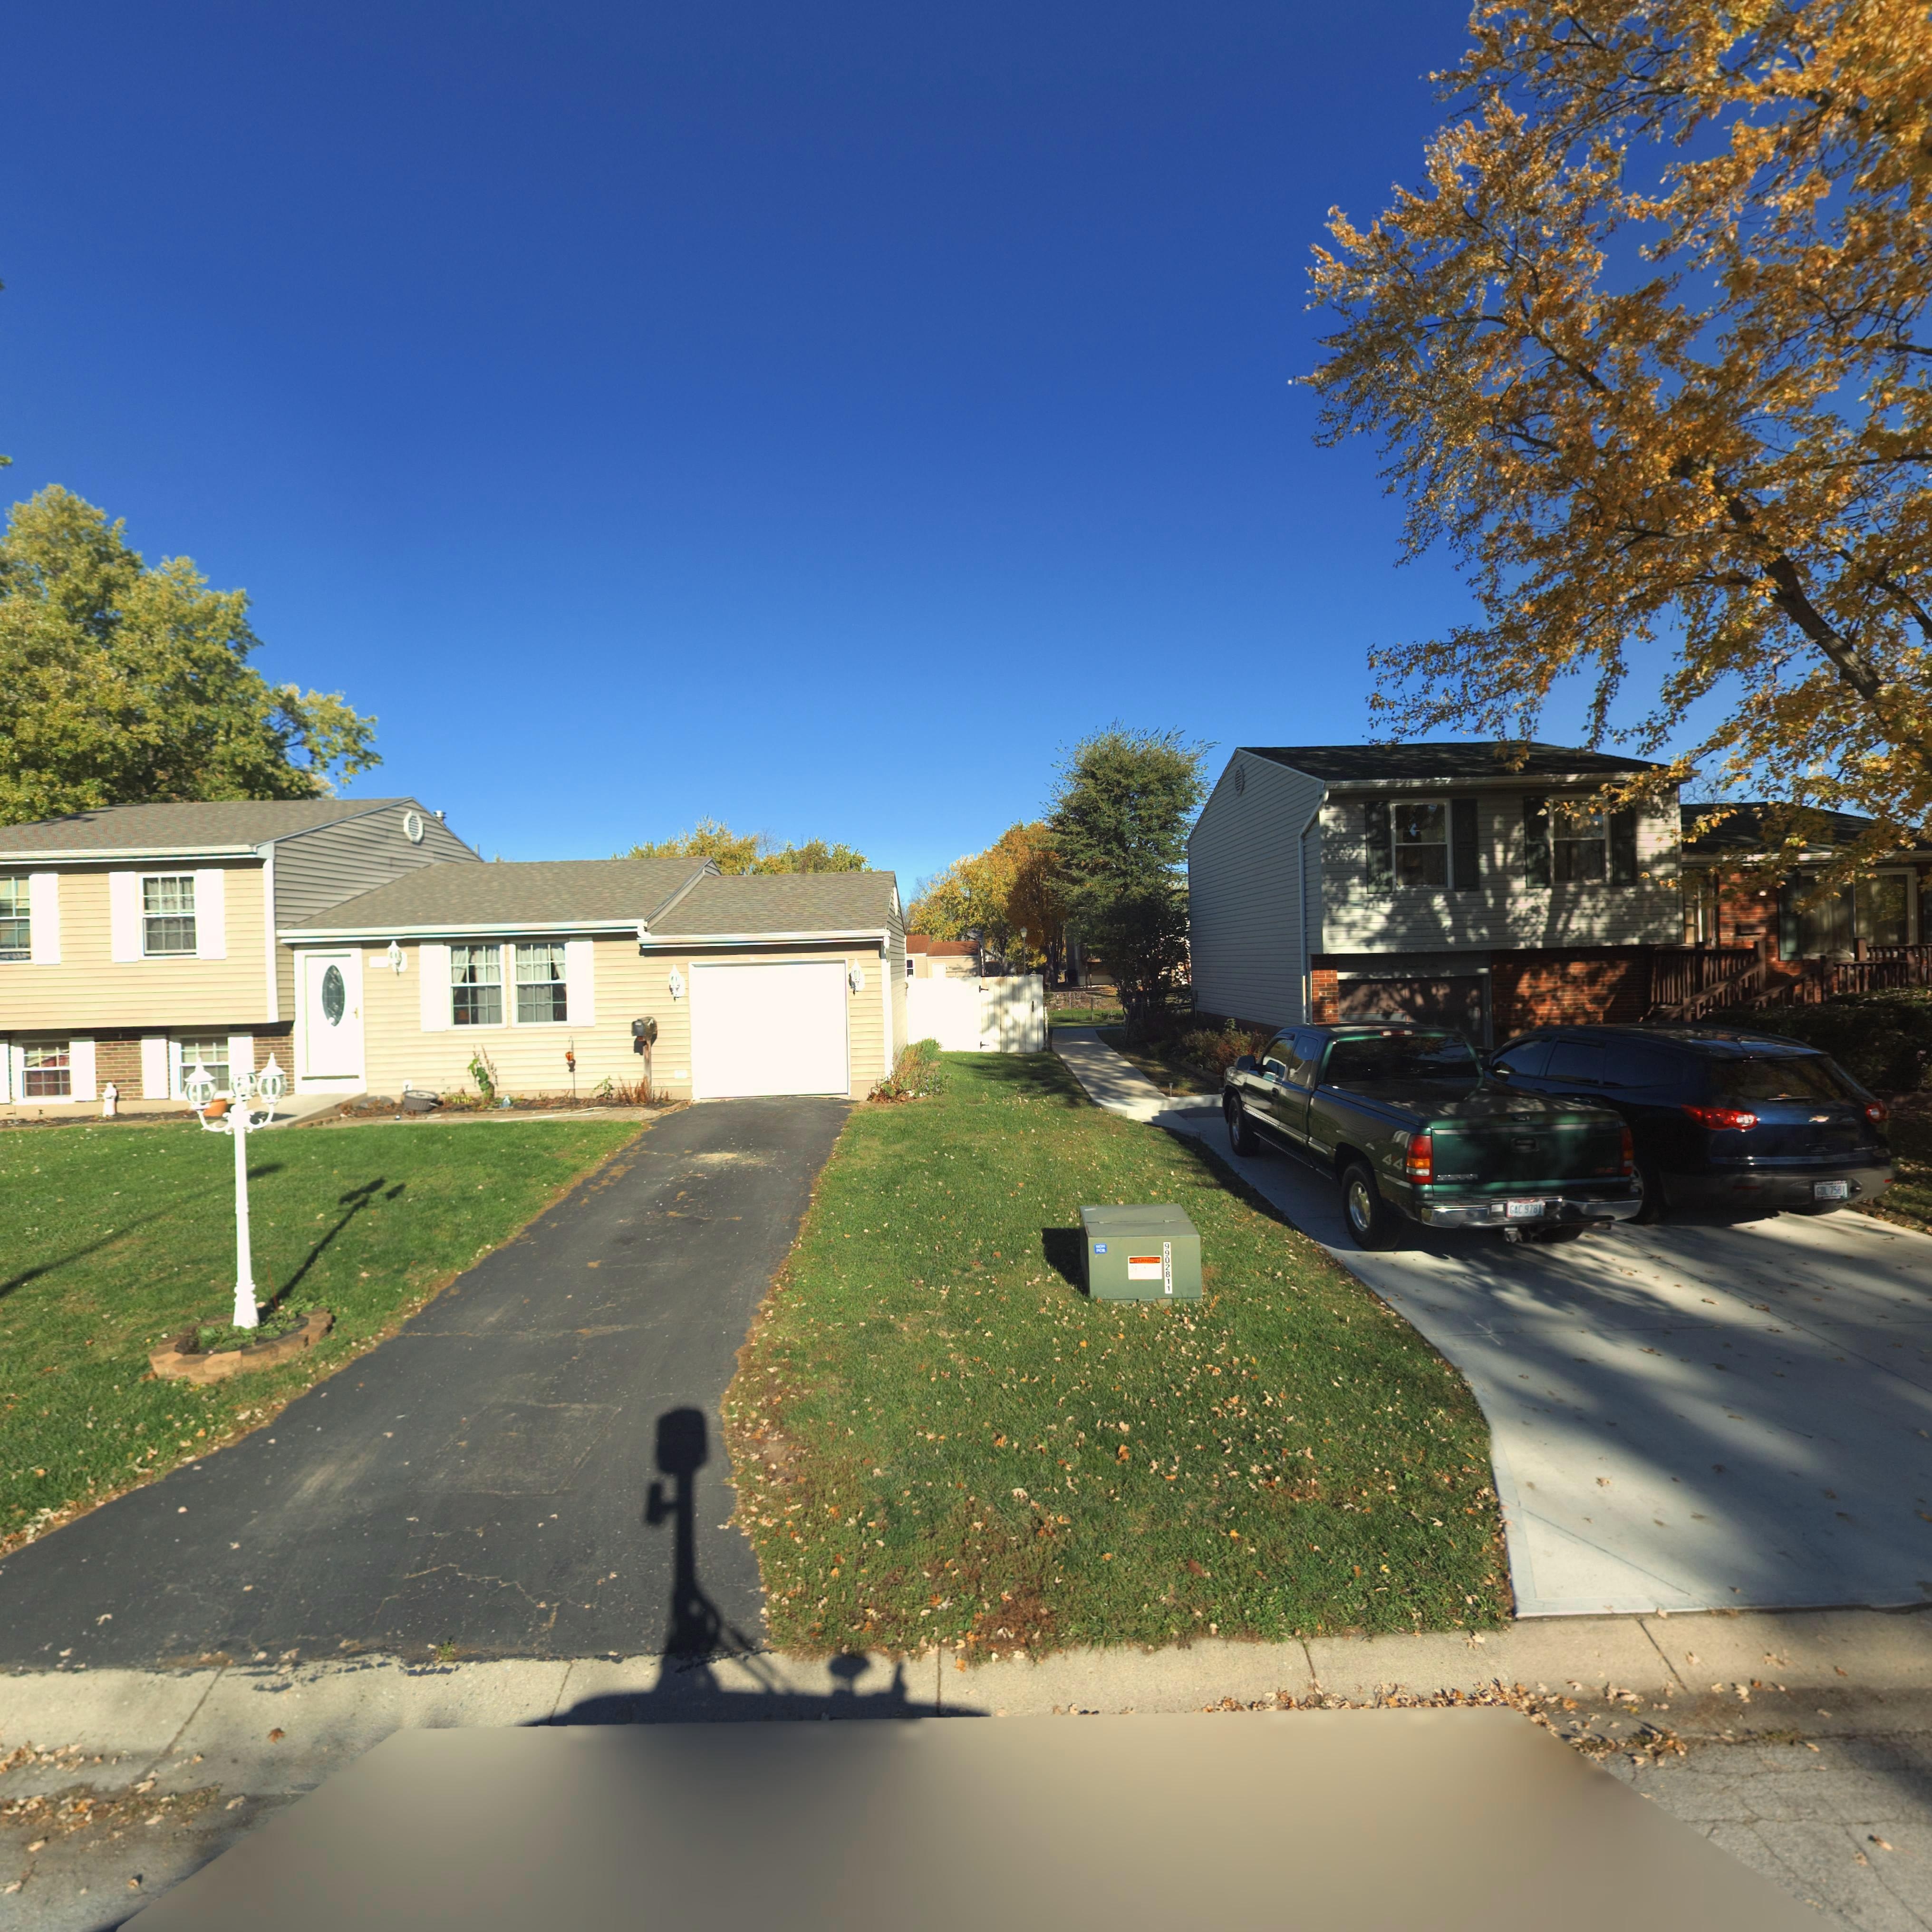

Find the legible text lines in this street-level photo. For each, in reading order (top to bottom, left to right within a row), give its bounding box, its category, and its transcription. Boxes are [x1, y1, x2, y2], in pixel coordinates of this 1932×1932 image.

[1387, 962, 1410, 969] StreetNumber: On* H